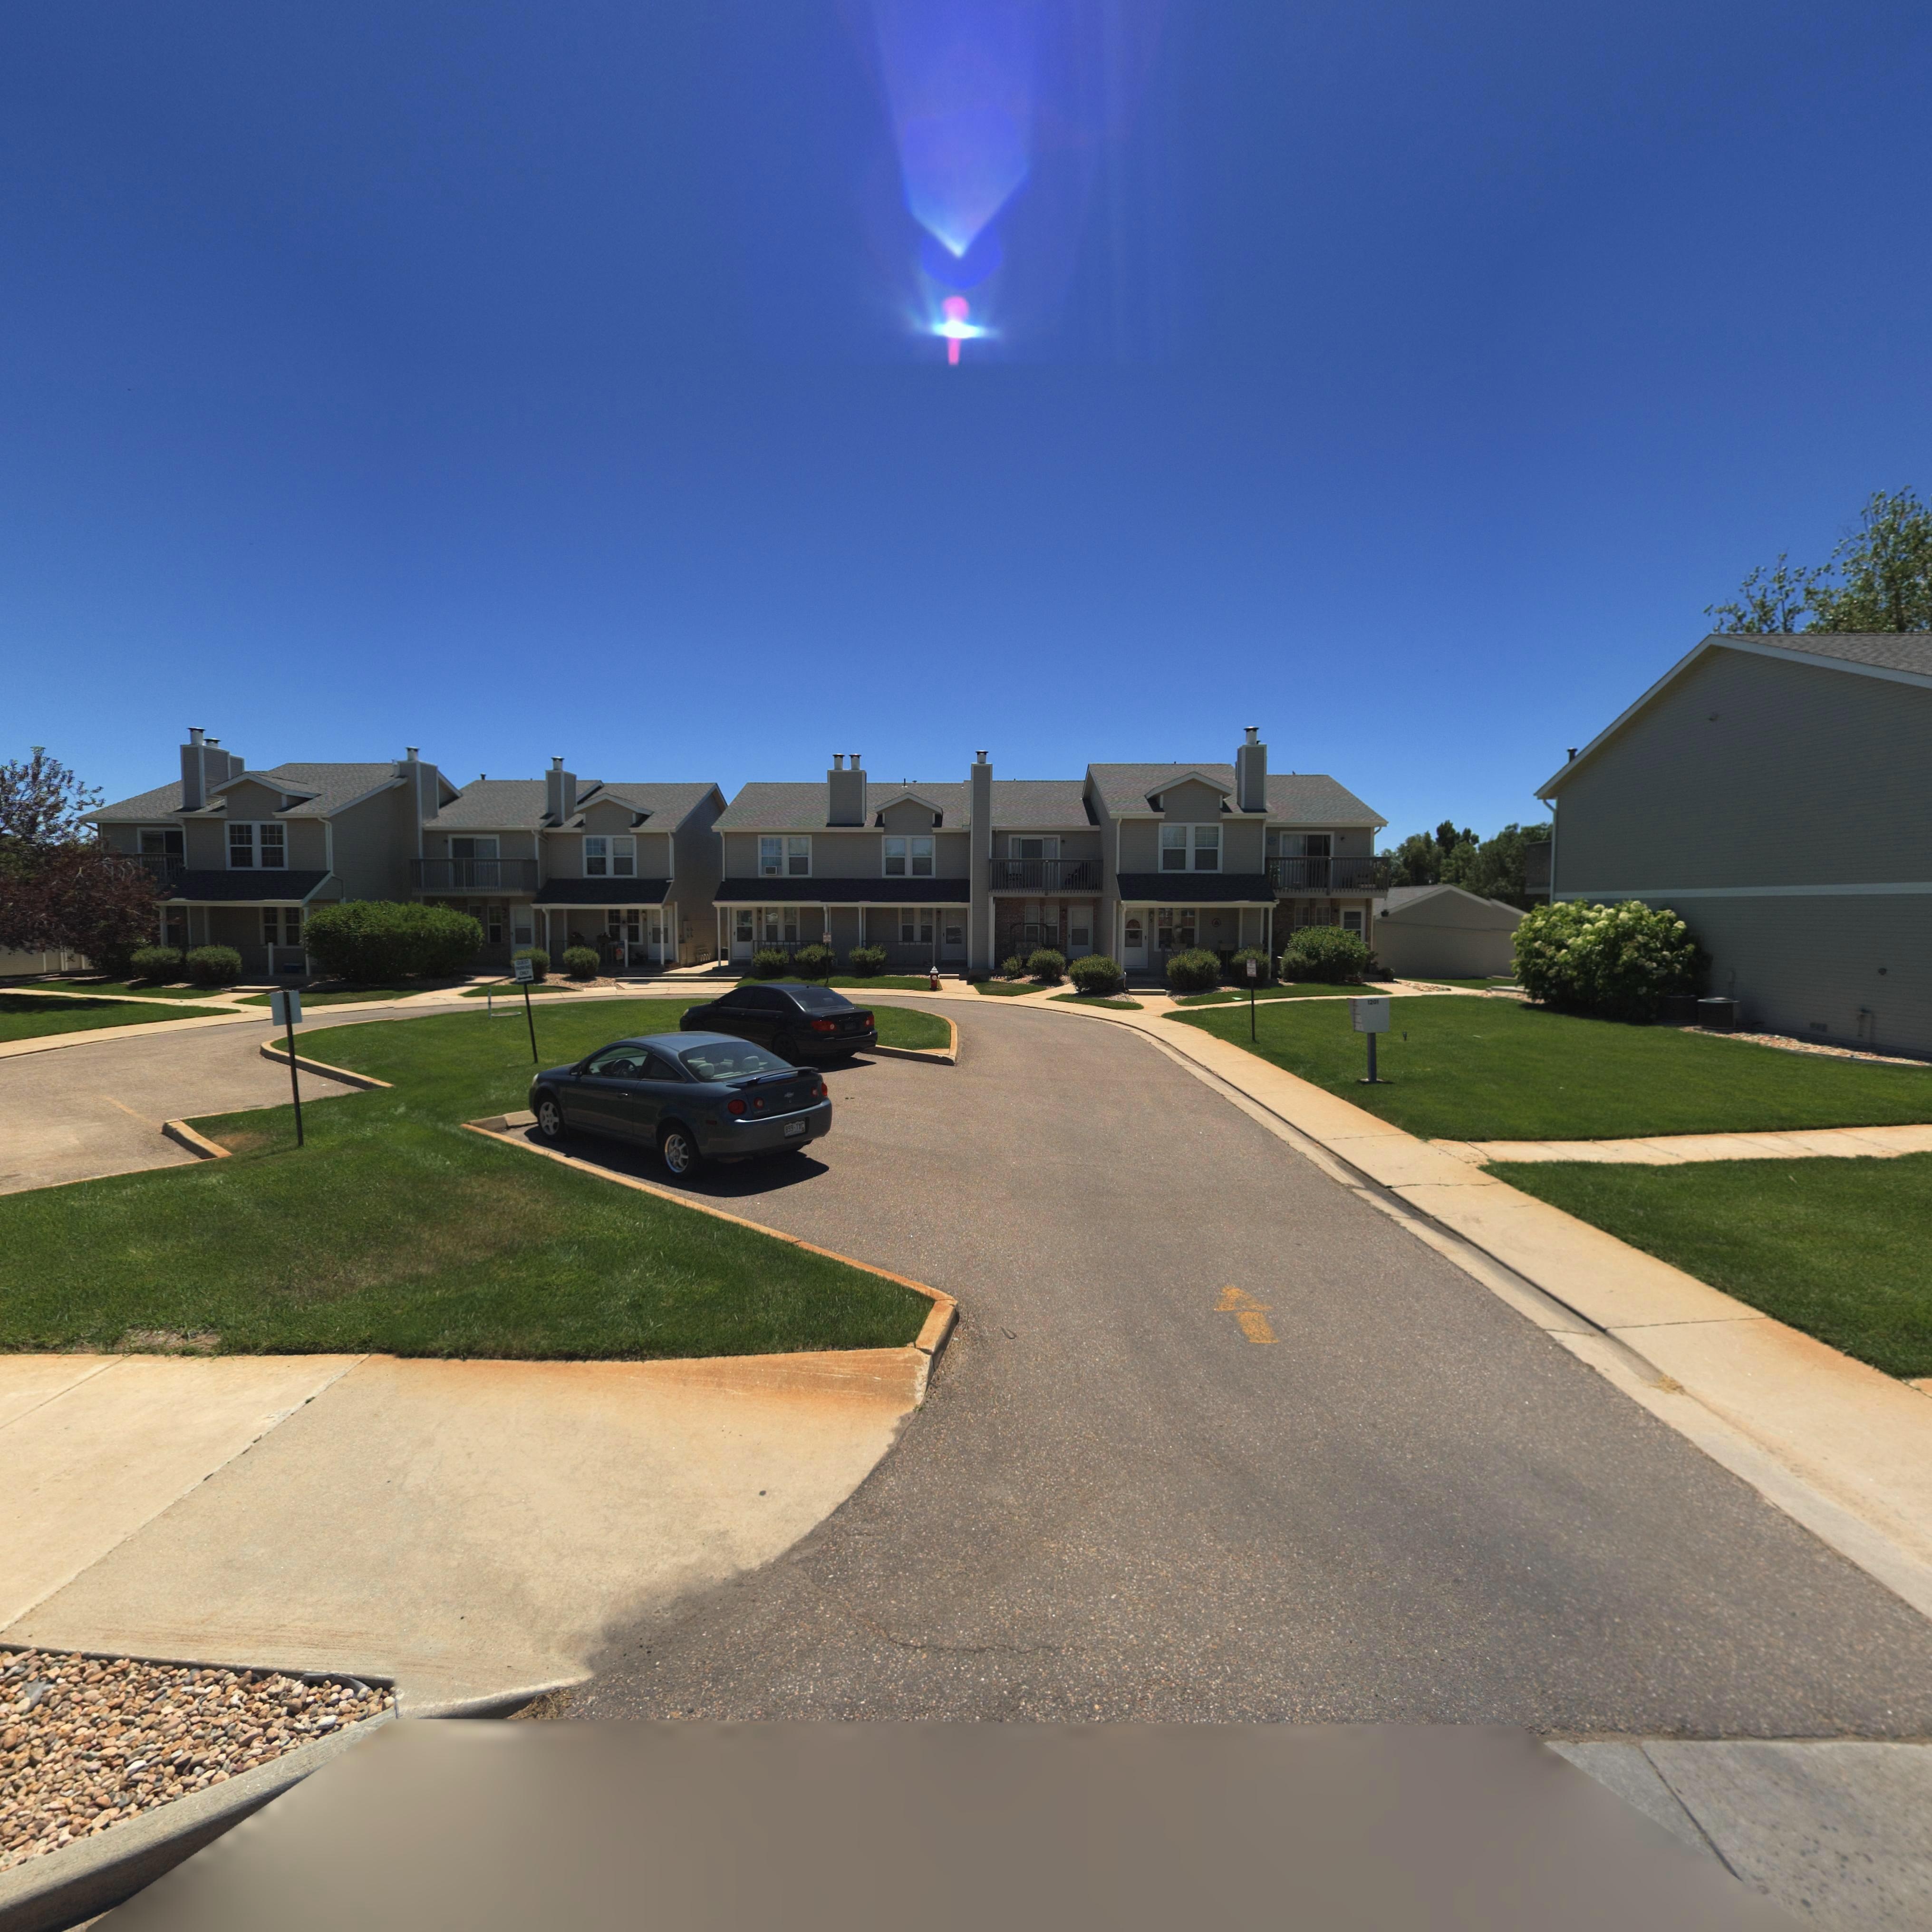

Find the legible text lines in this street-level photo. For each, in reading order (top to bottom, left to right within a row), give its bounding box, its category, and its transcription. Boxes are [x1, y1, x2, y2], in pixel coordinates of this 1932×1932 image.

[937, 918, 940, 921] StreetNumber: 7
[1149, 918, 1153, 923] StreetNumber: 3
[1367, 999, 1379, 1005] StreetNumber: 1201